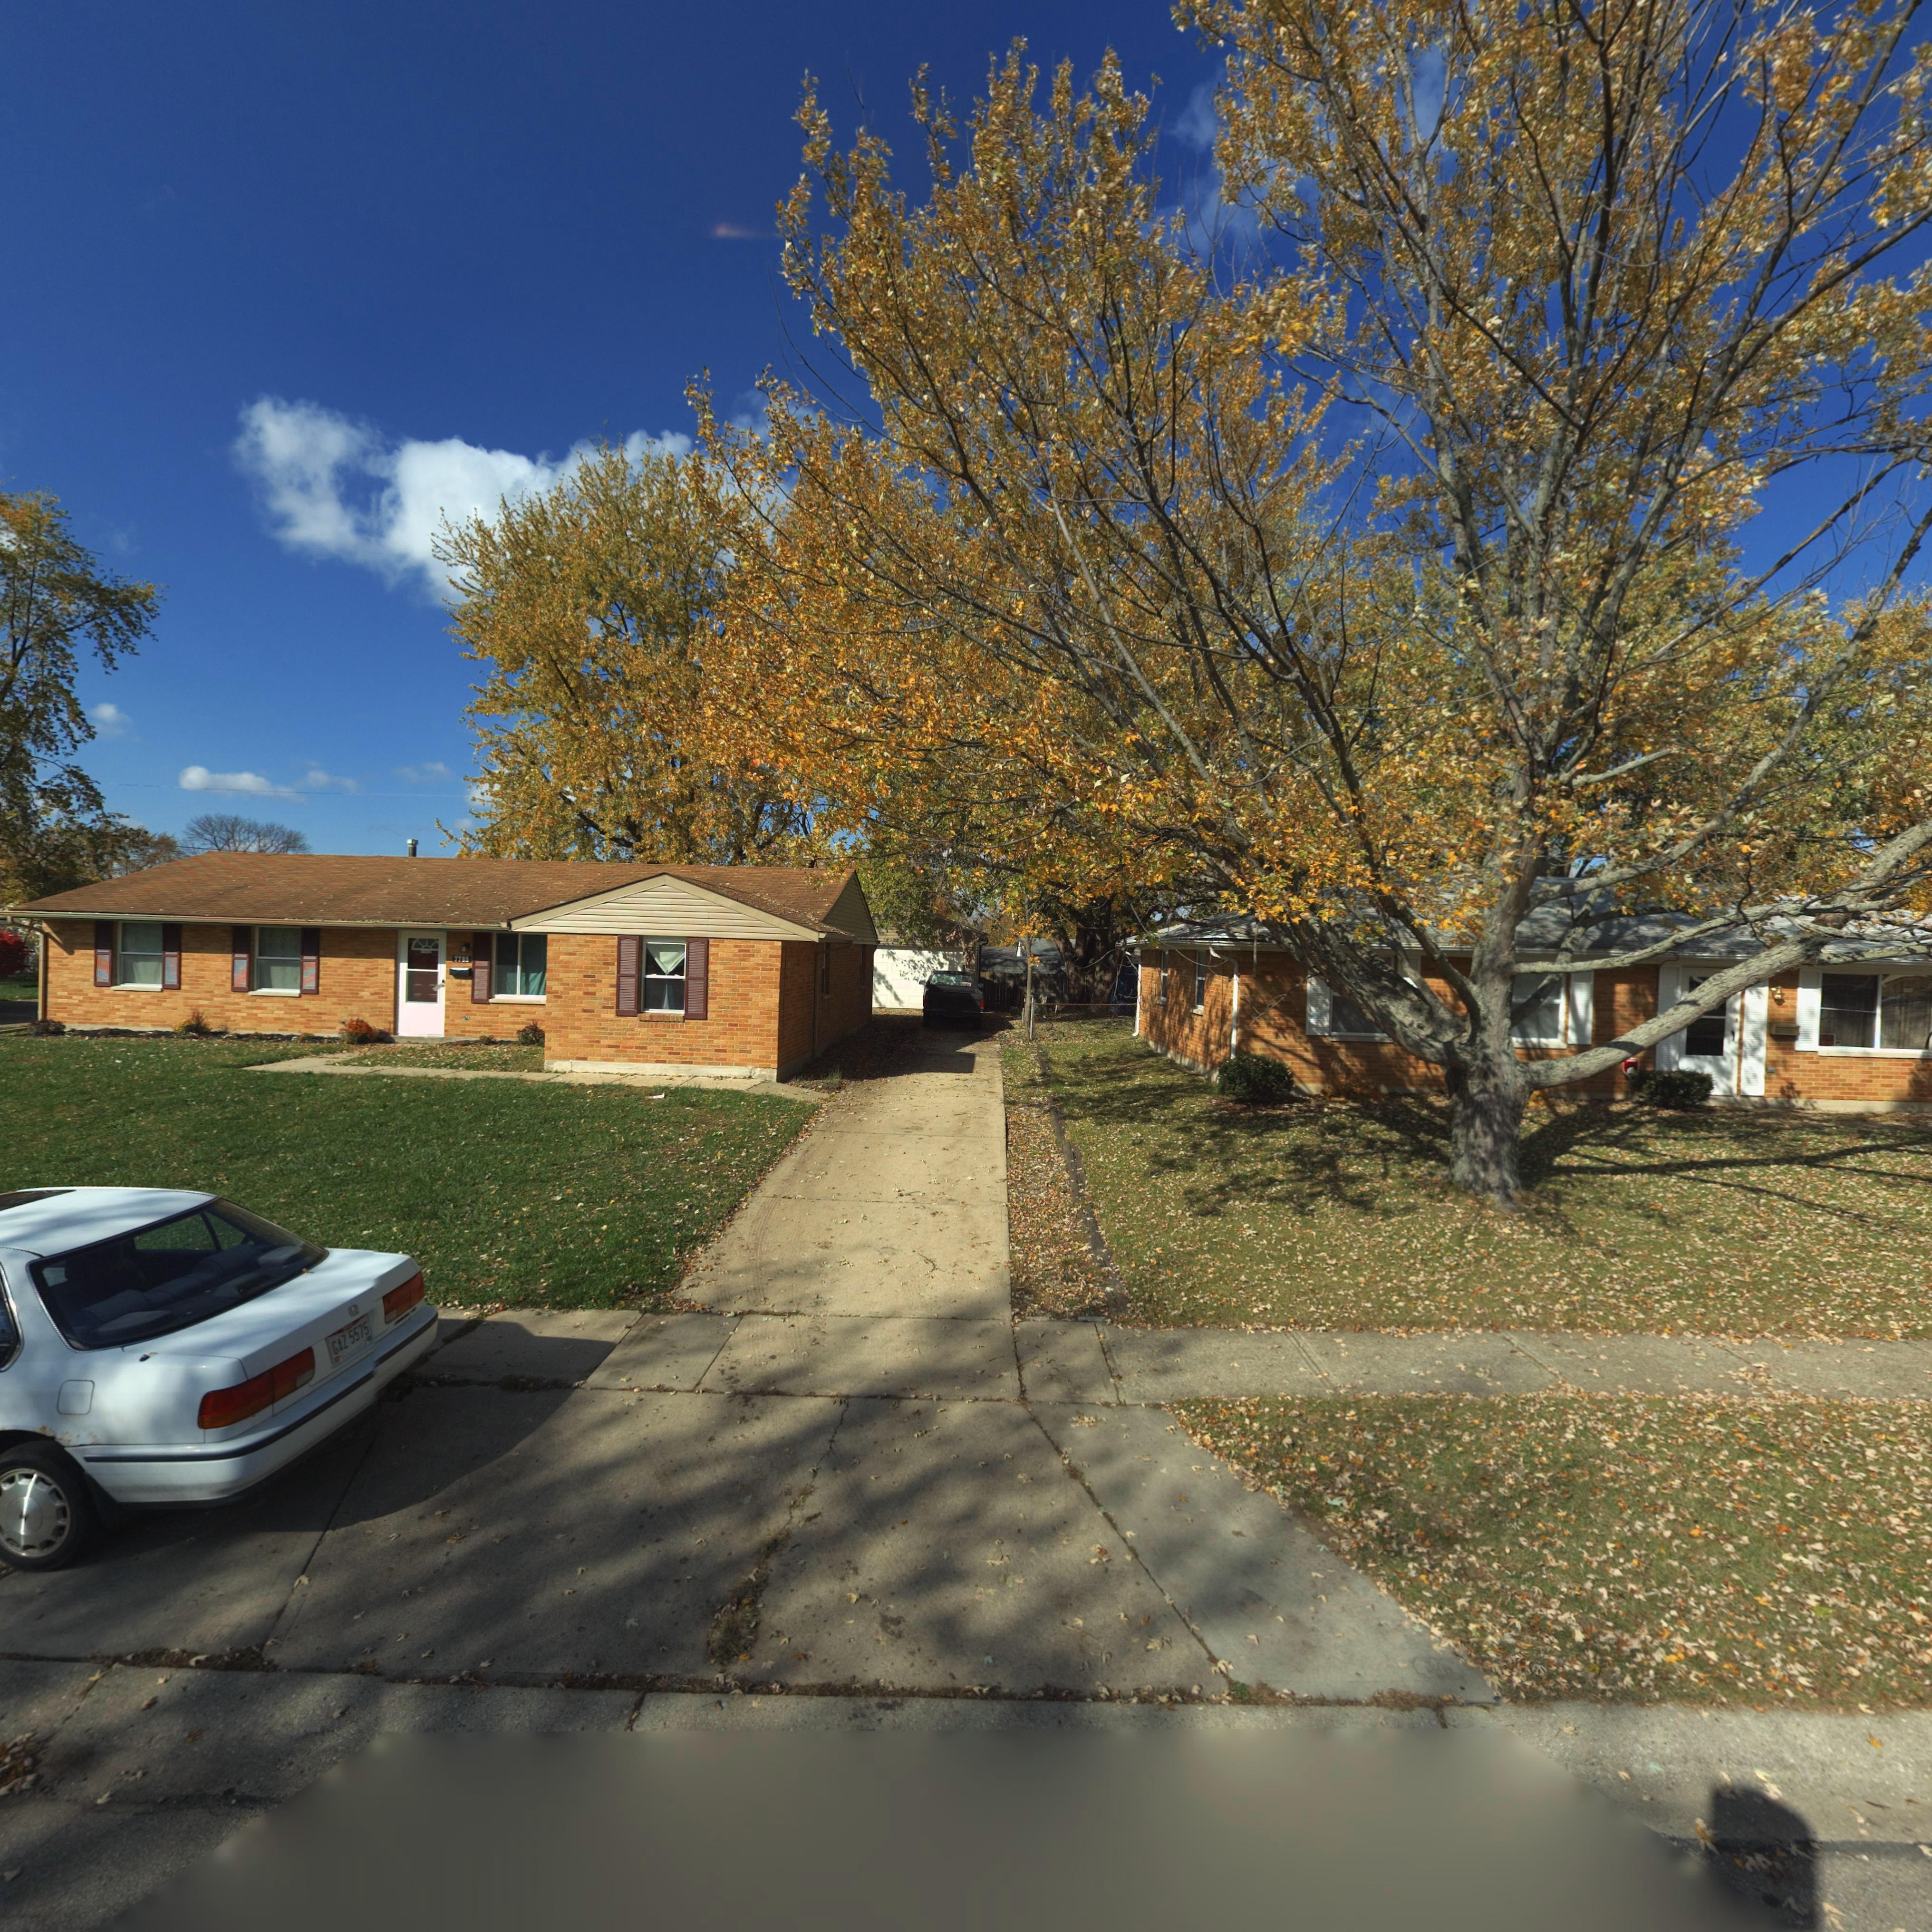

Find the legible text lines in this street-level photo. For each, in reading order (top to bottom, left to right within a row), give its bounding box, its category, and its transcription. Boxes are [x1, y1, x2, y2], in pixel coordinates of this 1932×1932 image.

[454, 956, 470, 963] StreetNumber: 7785